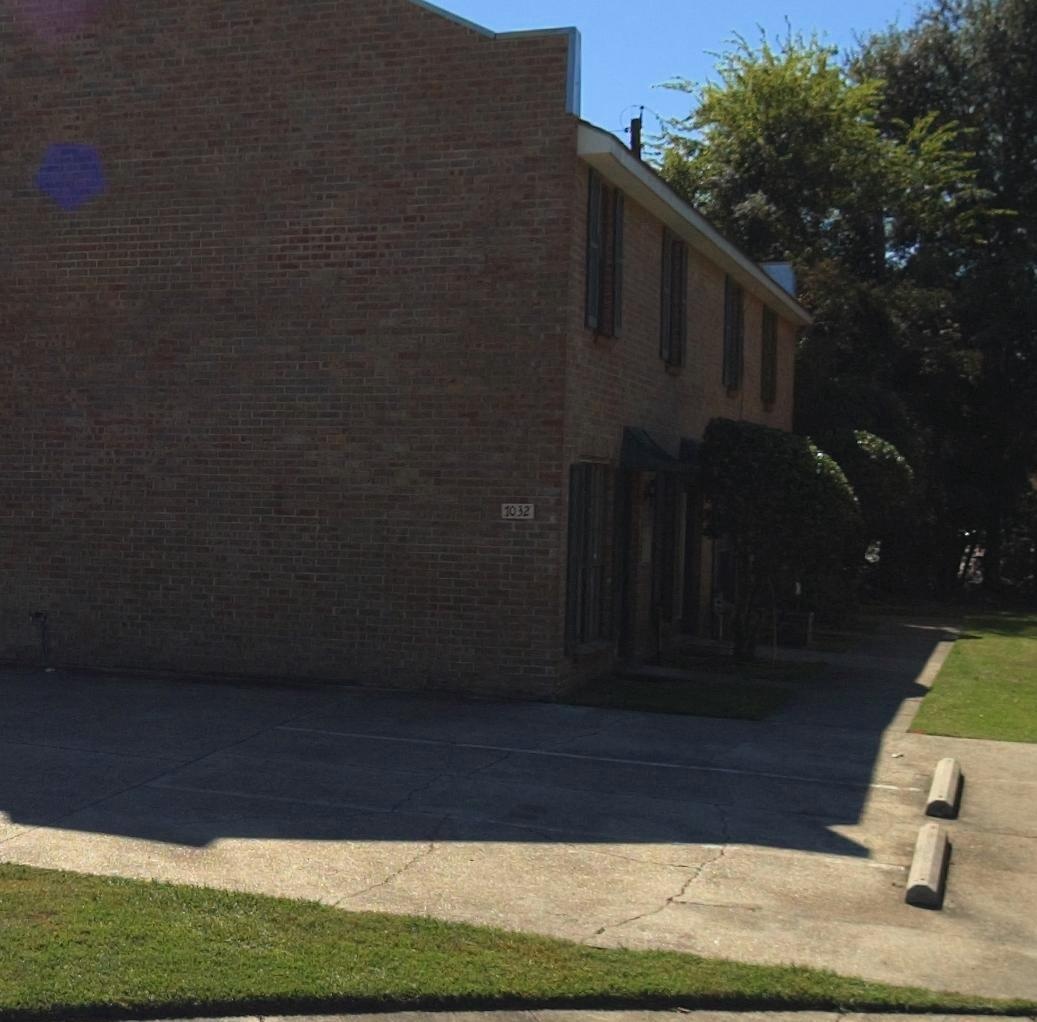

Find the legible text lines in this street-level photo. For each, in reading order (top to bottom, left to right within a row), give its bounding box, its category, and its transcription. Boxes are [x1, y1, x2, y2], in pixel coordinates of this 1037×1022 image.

[502, 503, 532, 519] StreetNumber: 1032